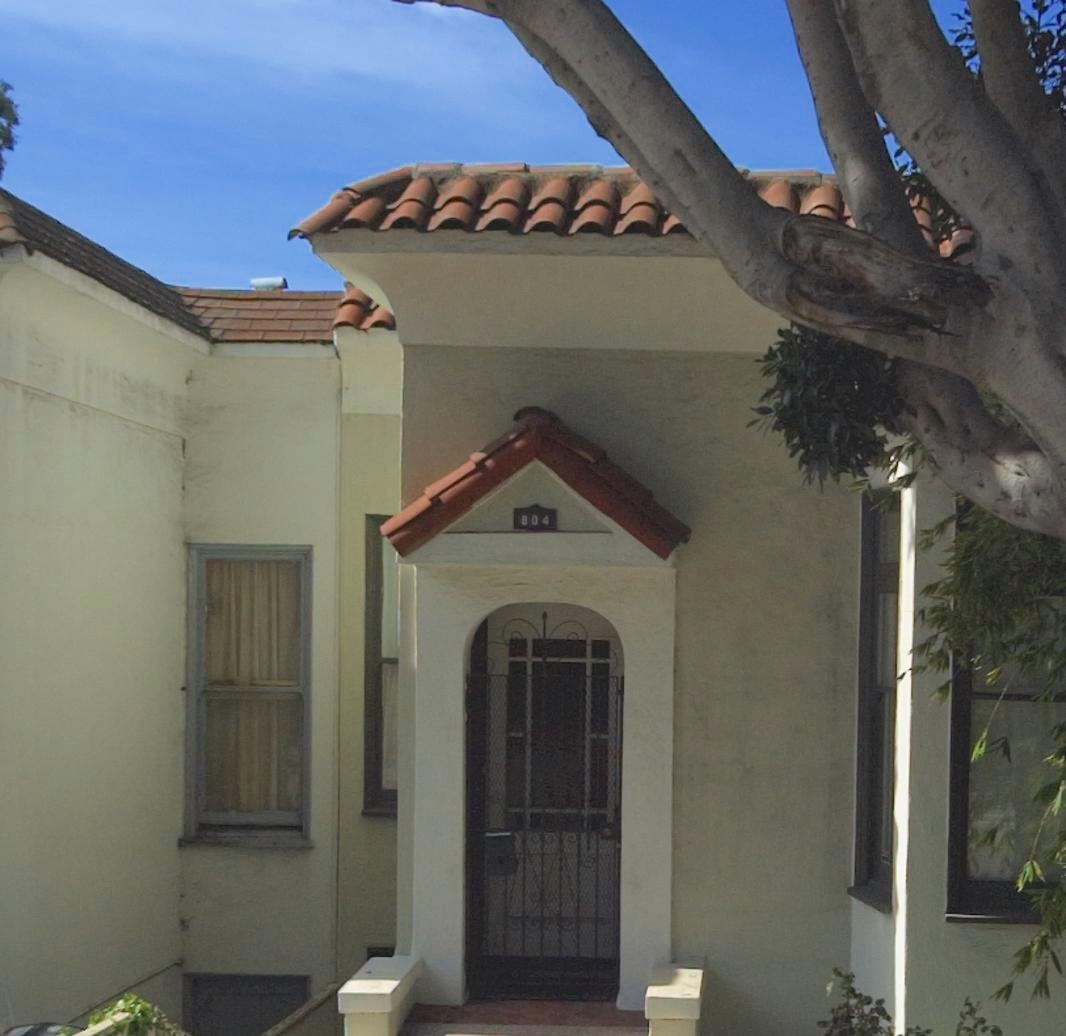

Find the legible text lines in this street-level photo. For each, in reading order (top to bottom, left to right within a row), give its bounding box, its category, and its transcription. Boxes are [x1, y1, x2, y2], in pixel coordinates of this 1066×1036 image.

[519, 513, 551, 528] StreetNumber: 804